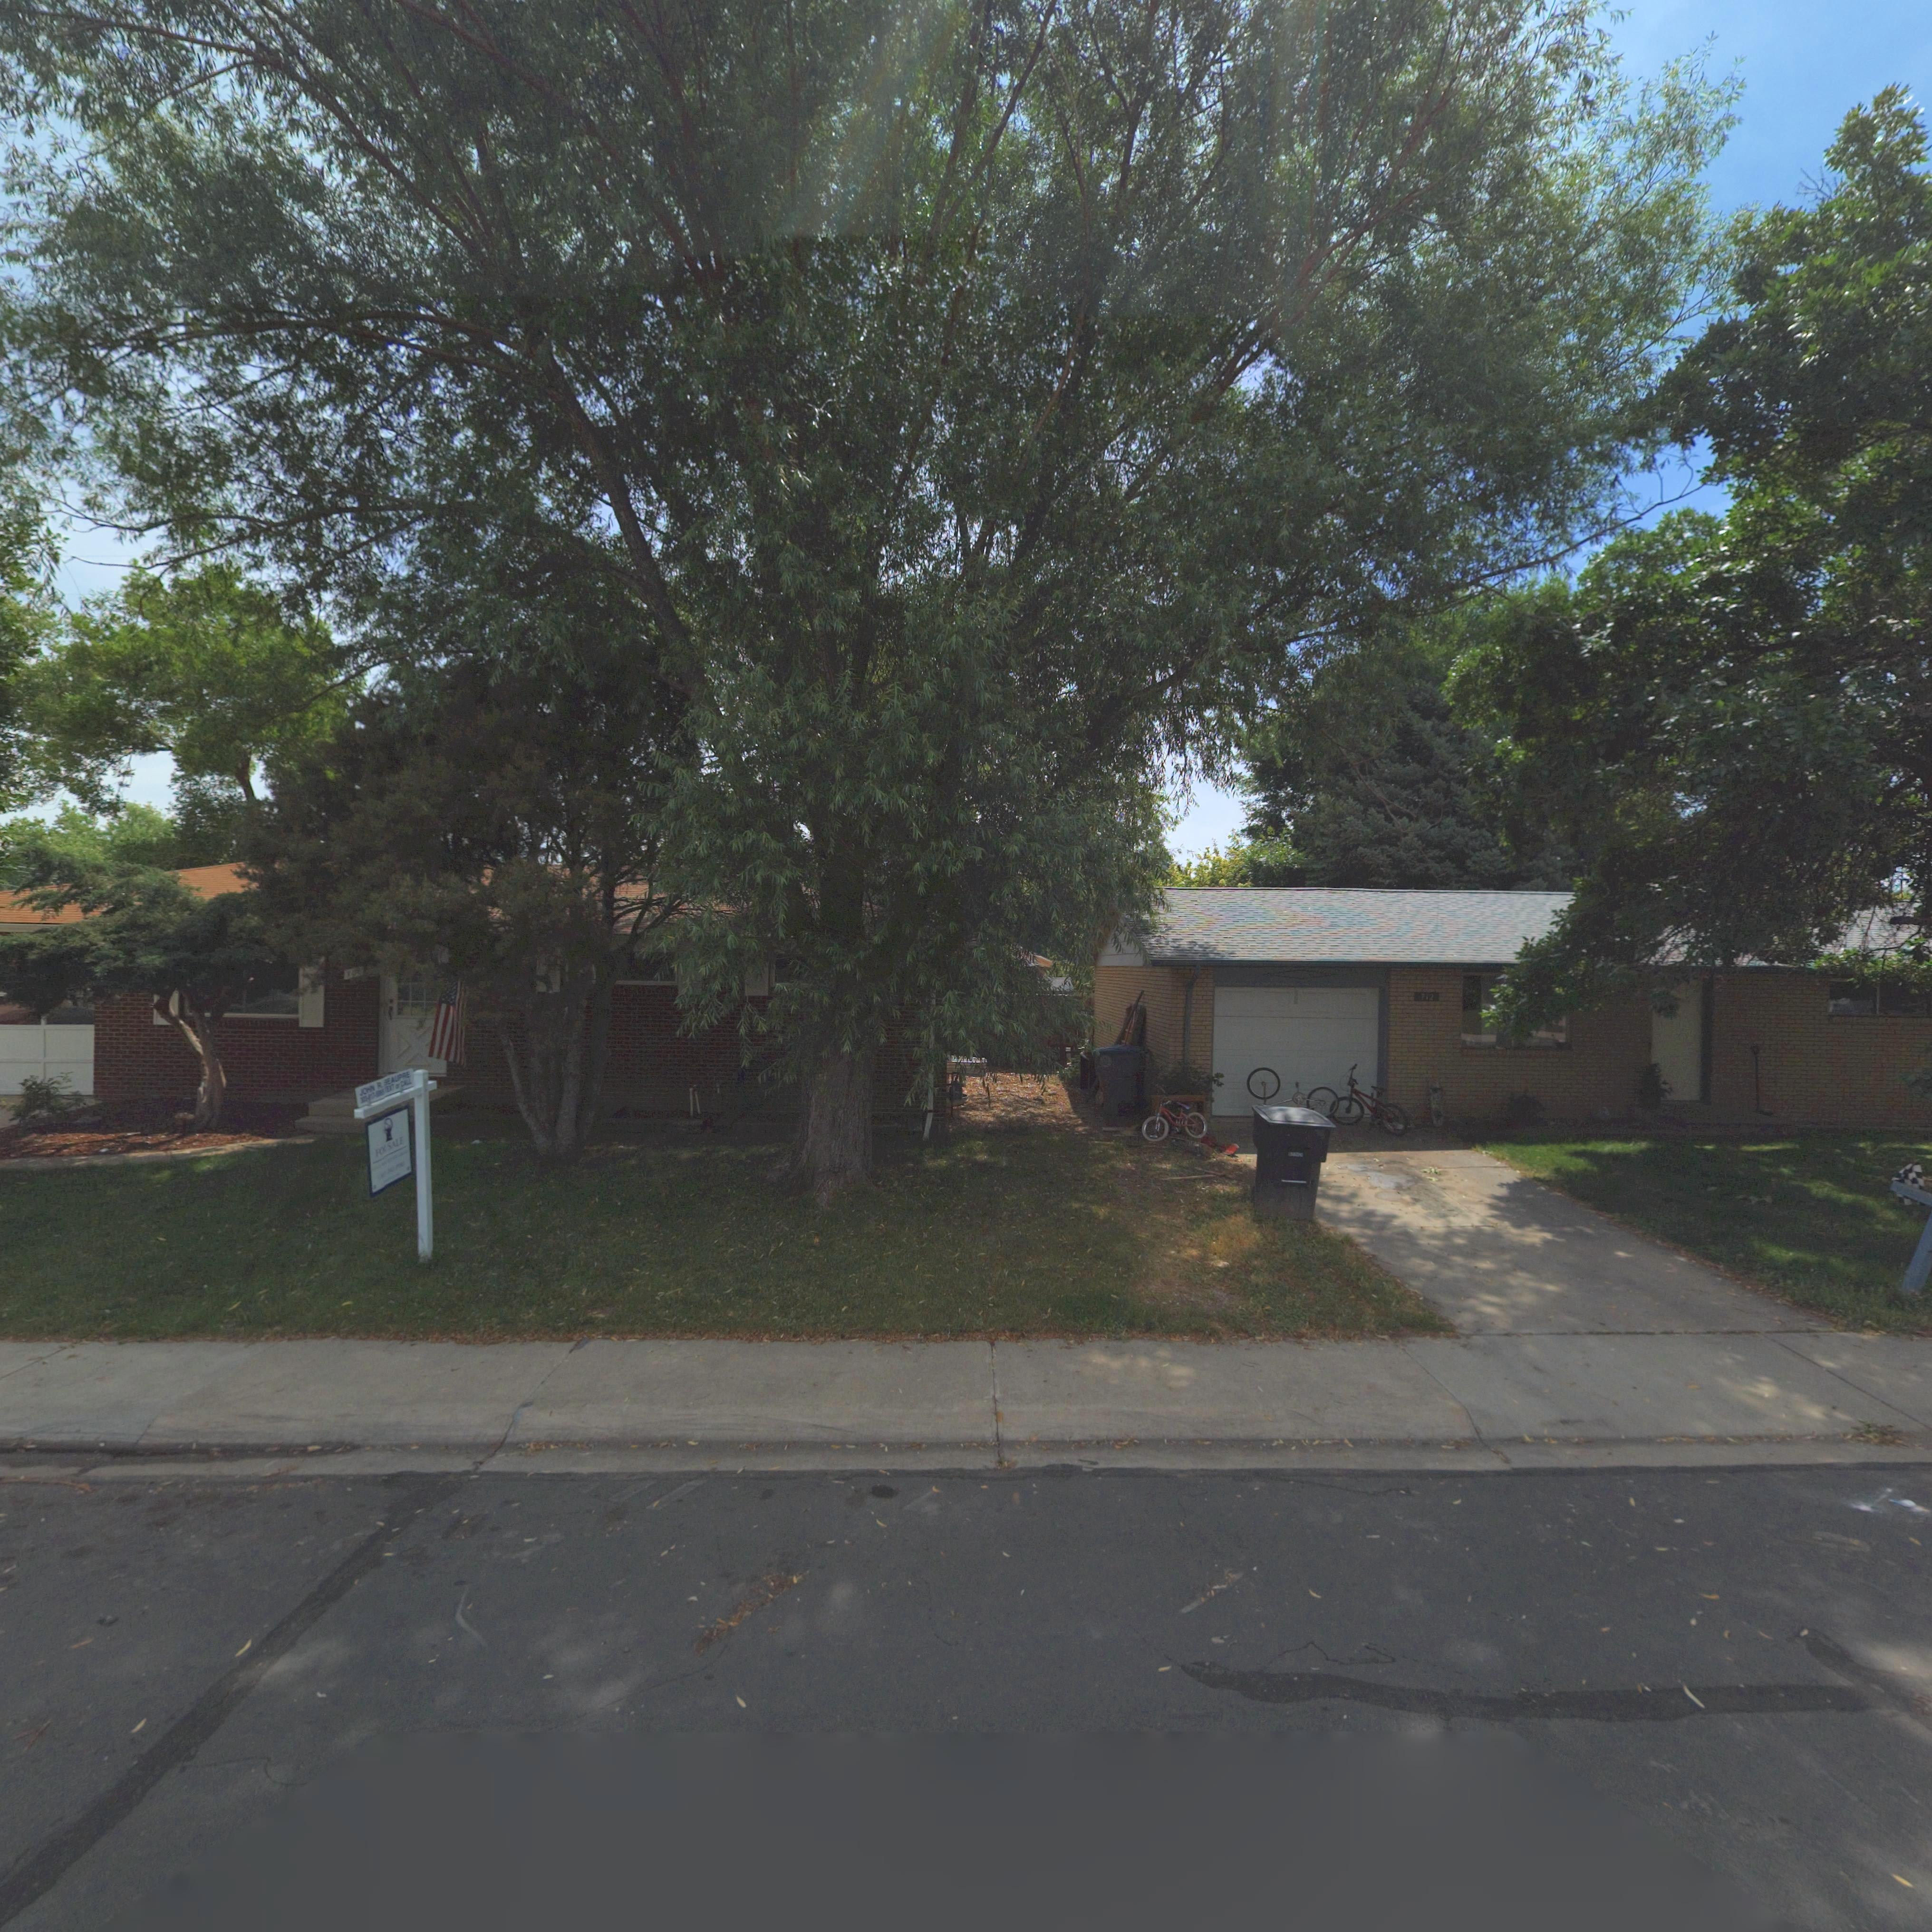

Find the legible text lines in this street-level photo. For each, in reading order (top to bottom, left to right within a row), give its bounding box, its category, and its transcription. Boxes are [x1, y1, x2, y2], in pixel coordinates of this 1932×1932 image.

[346, 968, 360, 976] StreetNumber: 7**
[1420, 993, 1434, 1001] StreetNumber: 712